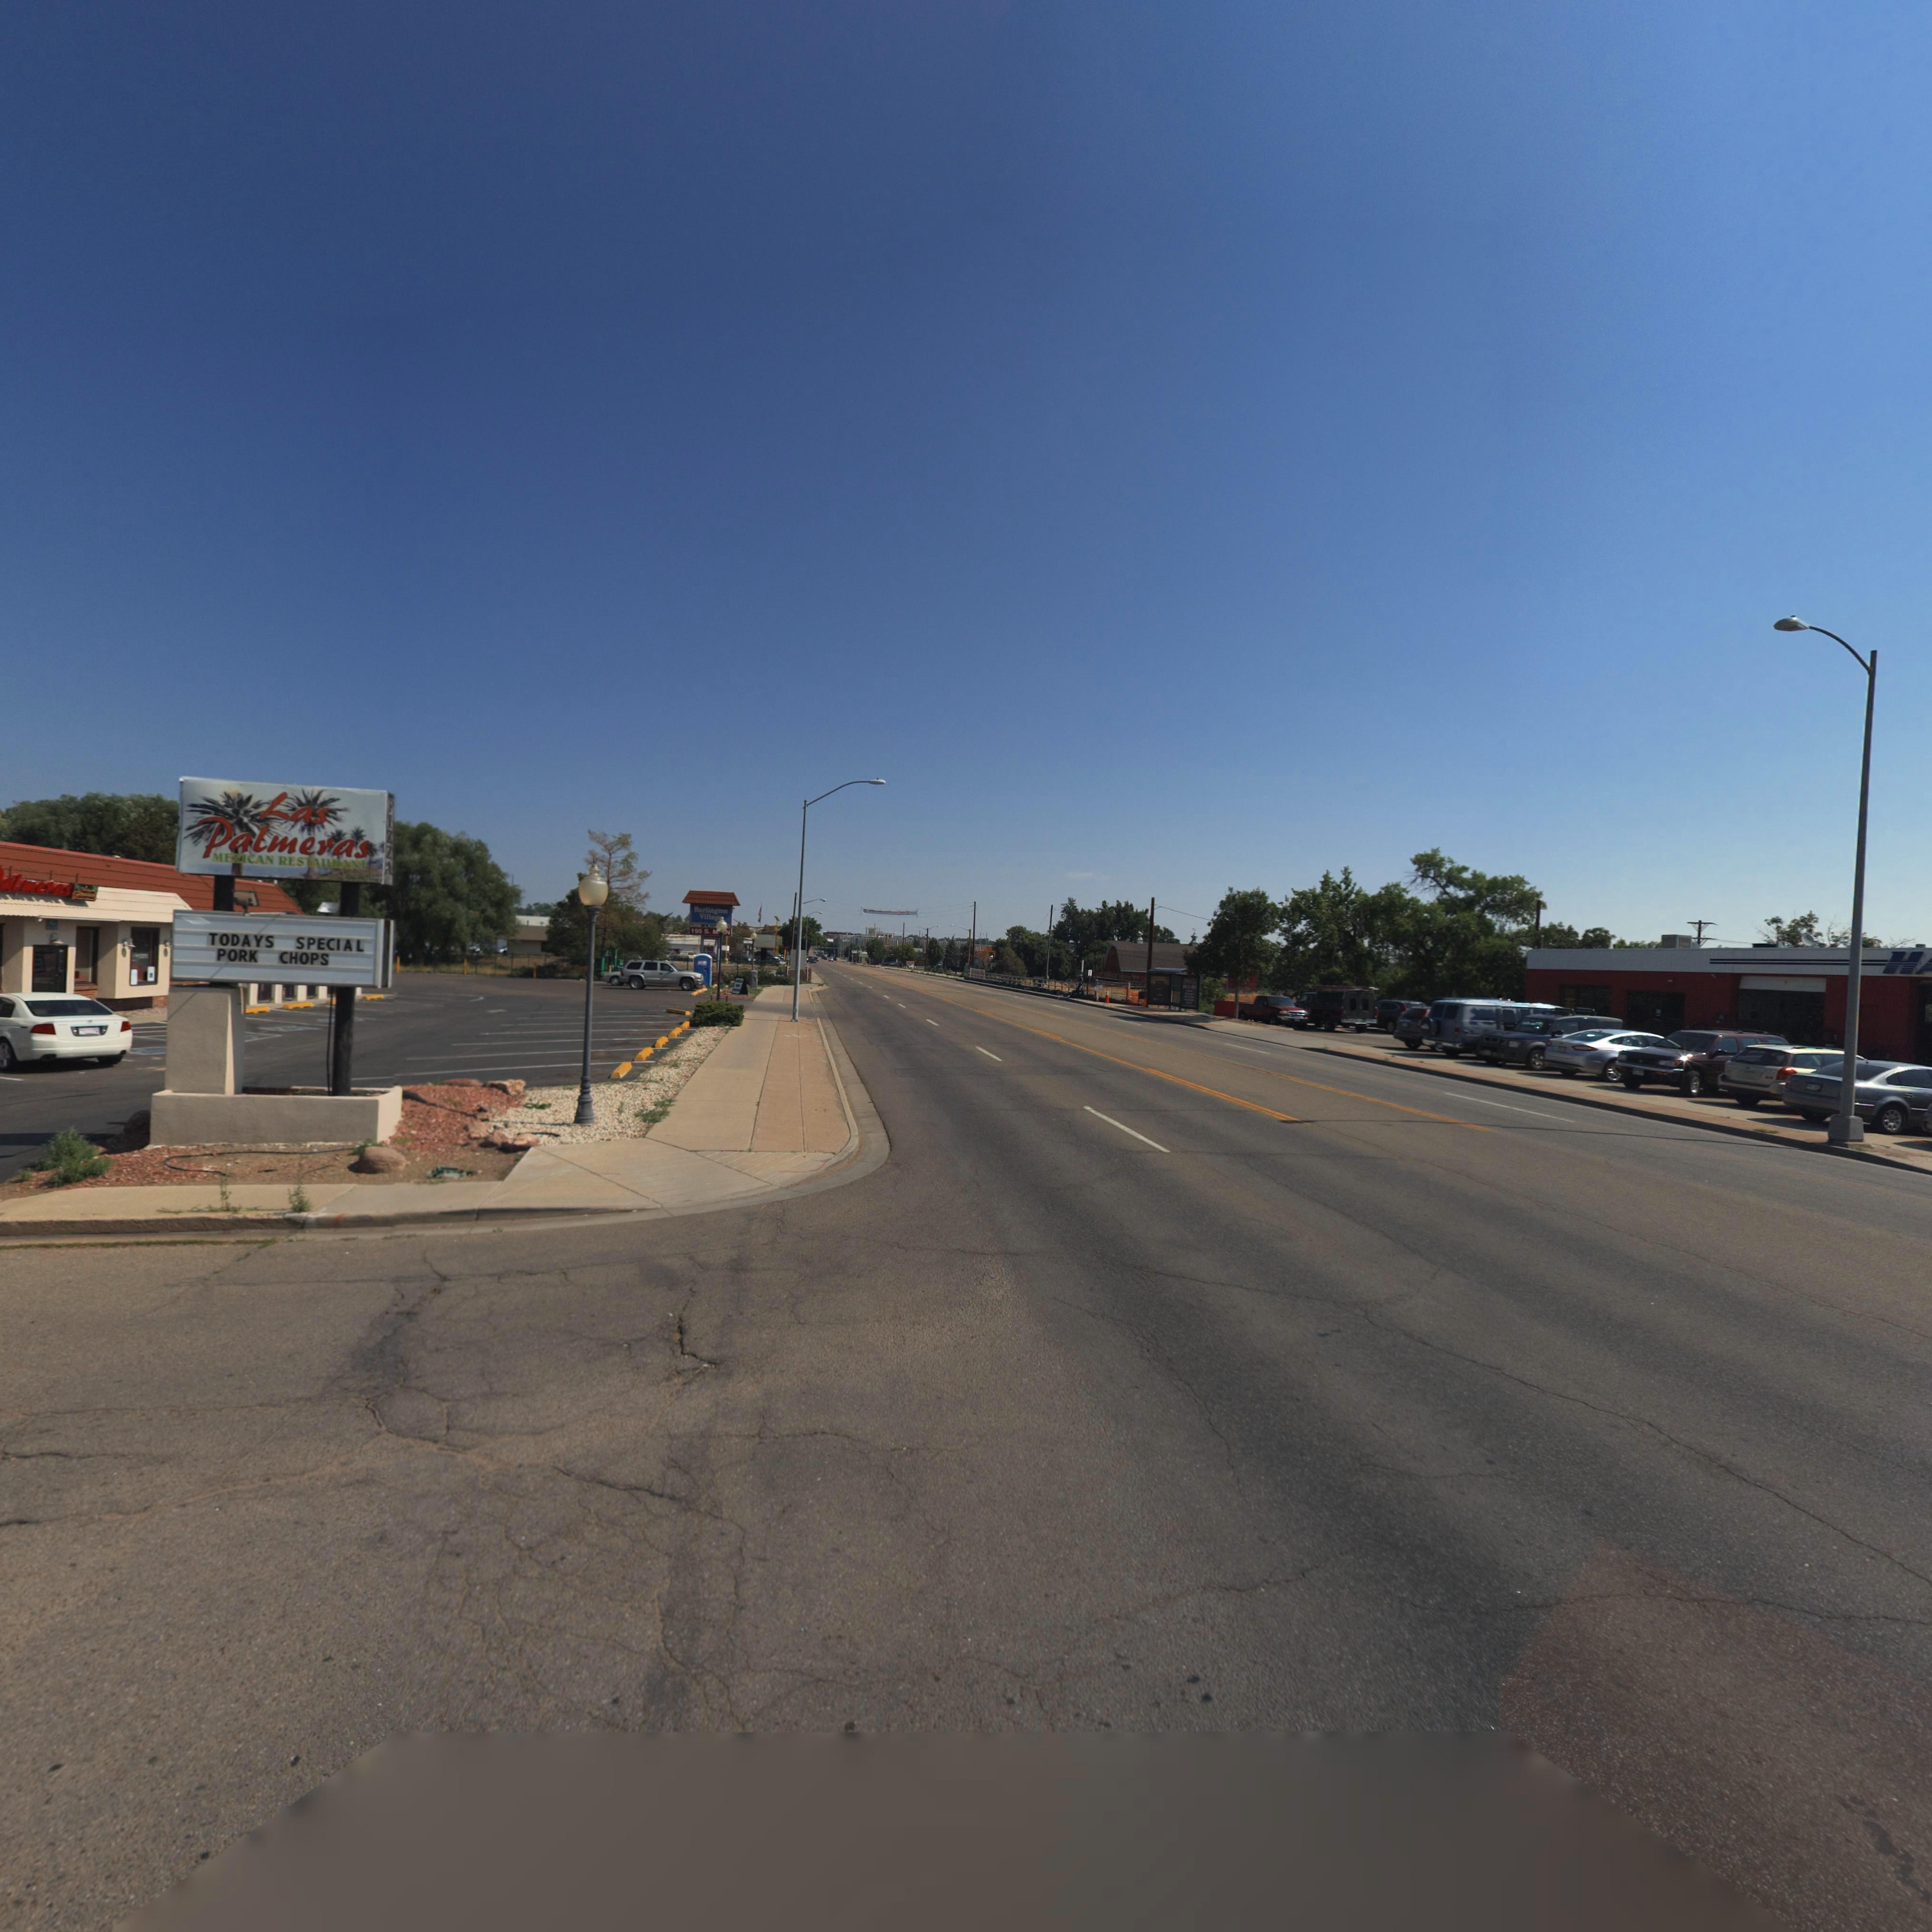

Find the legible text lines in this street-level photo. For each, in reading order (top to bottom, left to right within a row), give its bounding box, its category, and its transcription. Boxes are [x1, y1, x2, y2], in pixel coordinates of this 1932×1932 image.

[257, 789, 329, 825] BusinessName: Las
[196, 816, 371, 860] BusinessName: Palmeras
[690, 928, 703, 934] StreetNumber: 195
[704, 928, 730, 935] StreetName: S. ***N